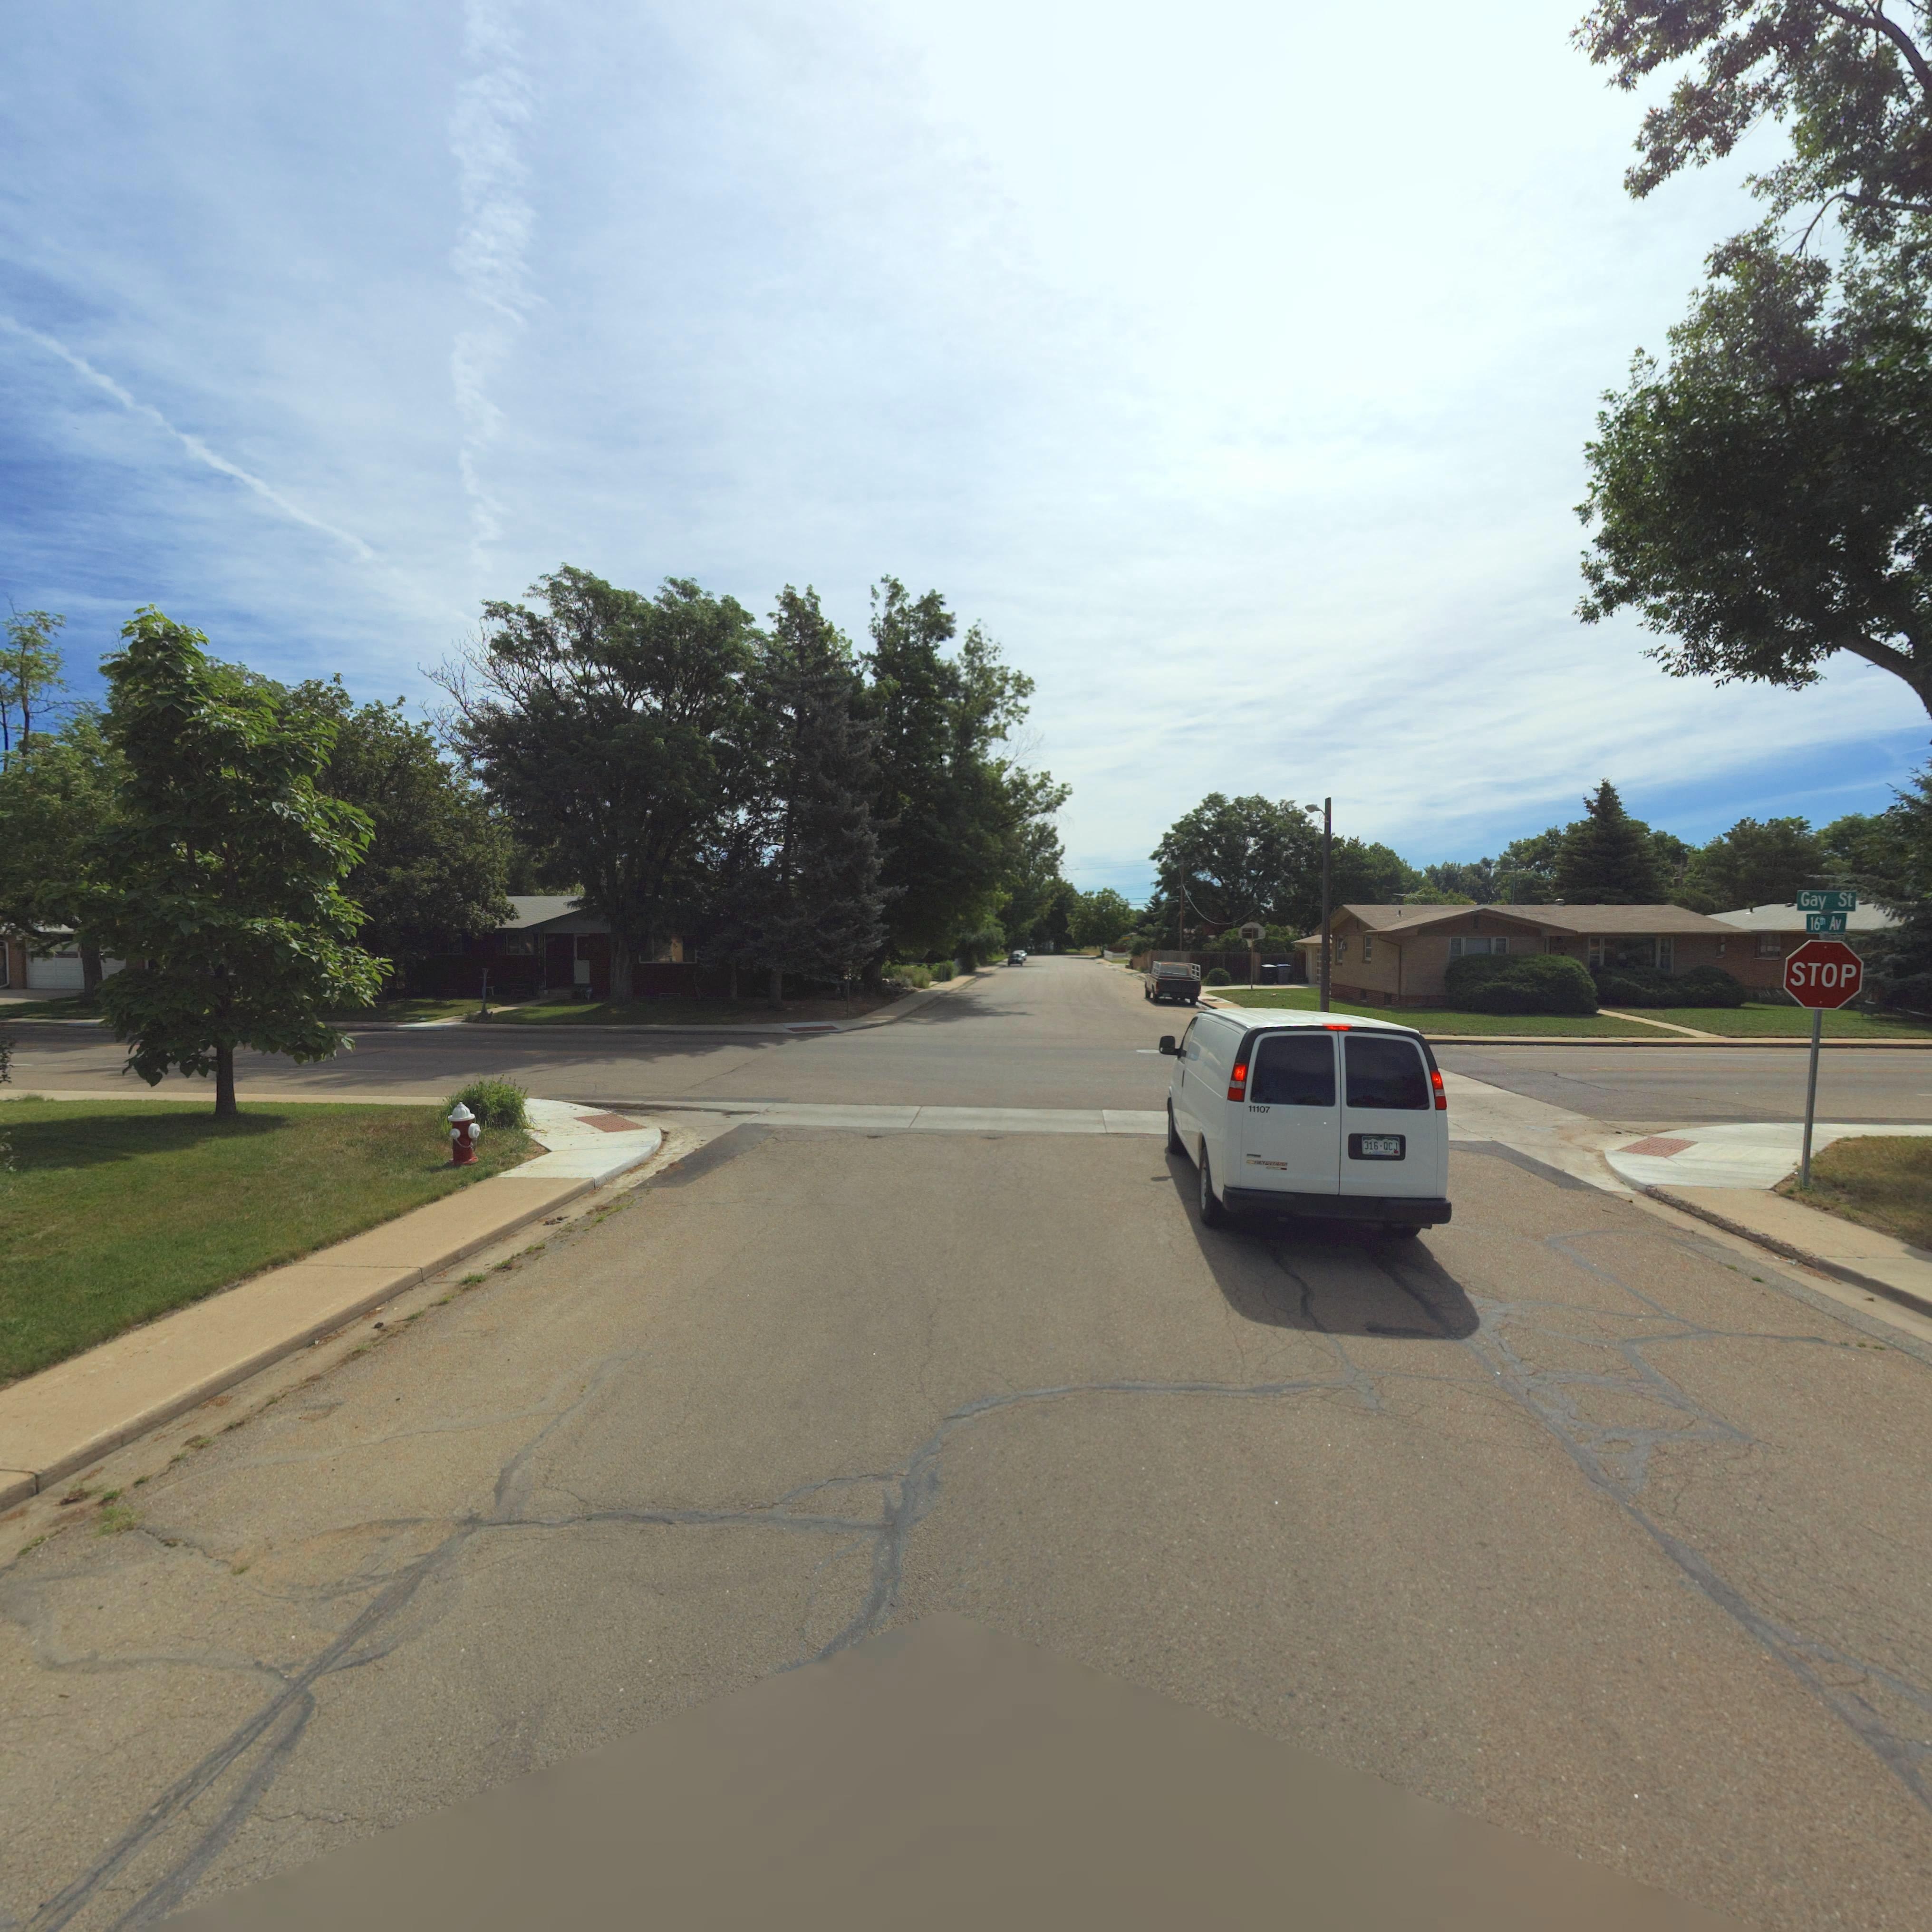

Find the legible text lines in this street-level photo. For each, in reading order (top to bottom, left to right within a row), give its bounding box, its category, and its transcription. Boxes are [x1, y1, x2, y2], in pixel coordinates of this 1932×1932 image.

[1800, 890, 1854, 910] StreetName: Gay St
[1810, 915, 1843, 931] BusinessName: 16th Av